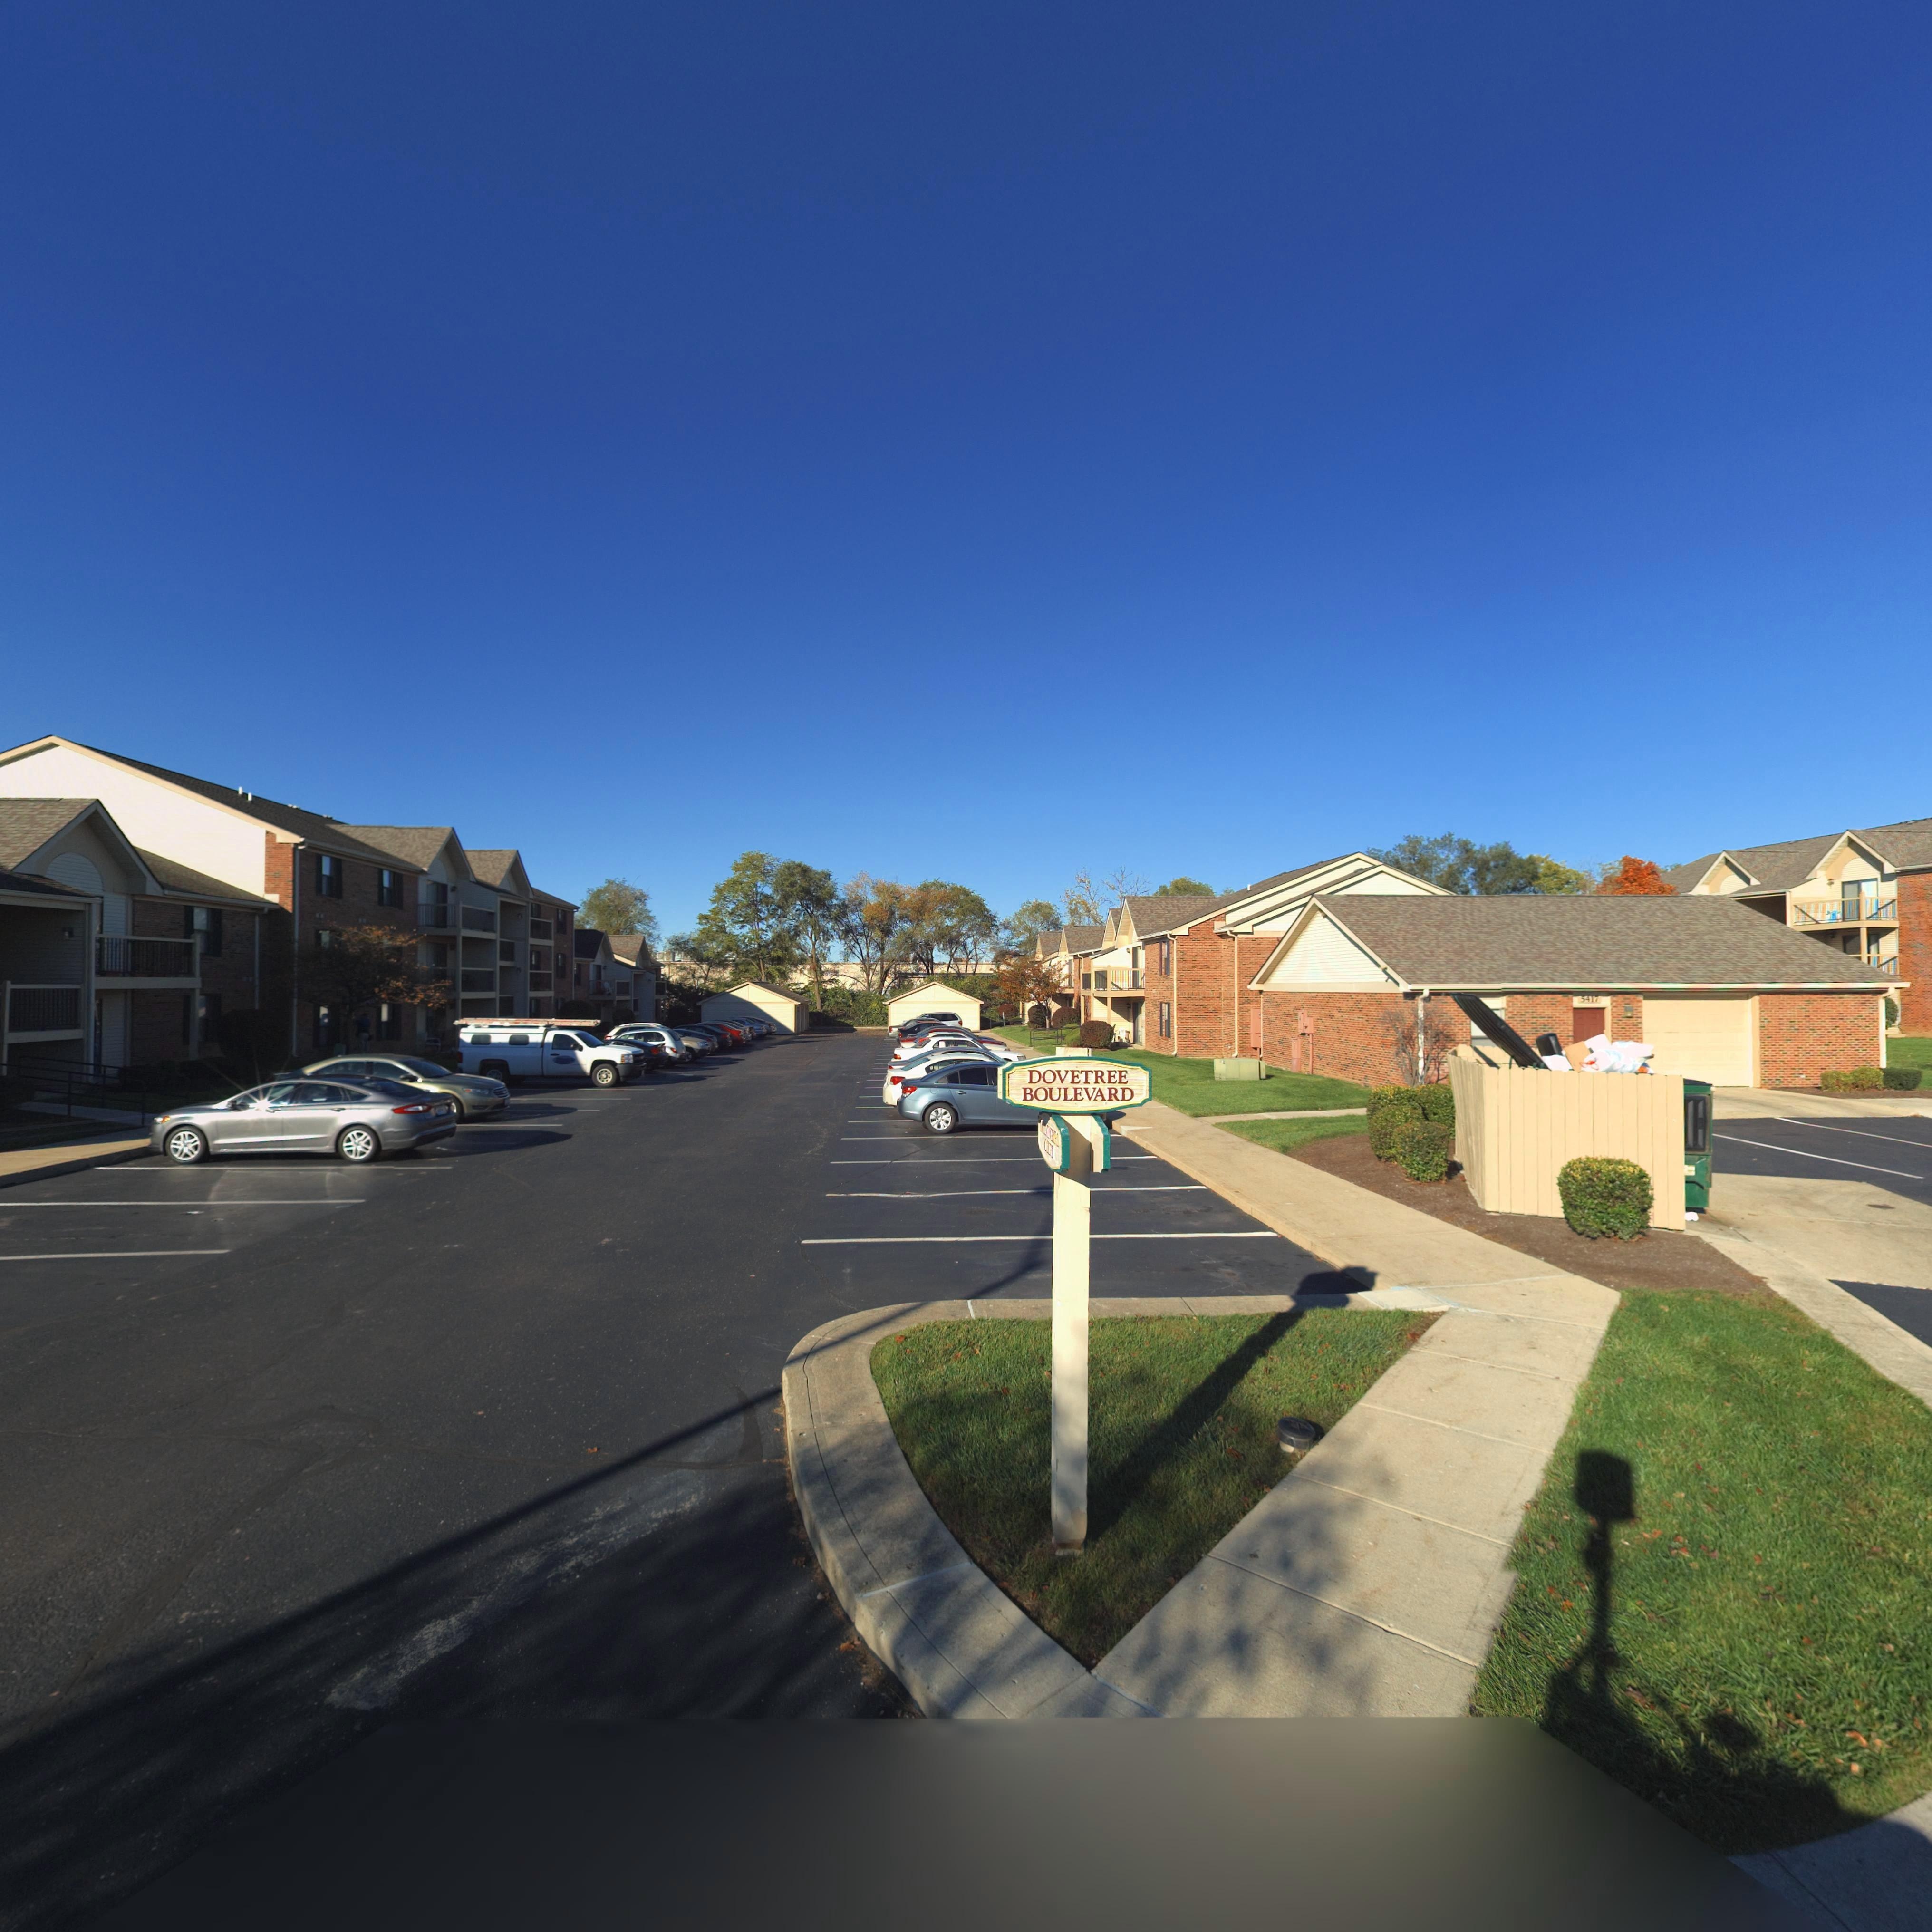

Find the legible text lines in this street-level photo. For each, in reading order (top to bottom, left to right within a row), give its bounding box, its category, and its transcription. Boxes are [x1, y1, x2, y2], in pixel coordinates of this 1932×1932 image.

[1580, 994, 1599, 1002] StreetNumber: 5417